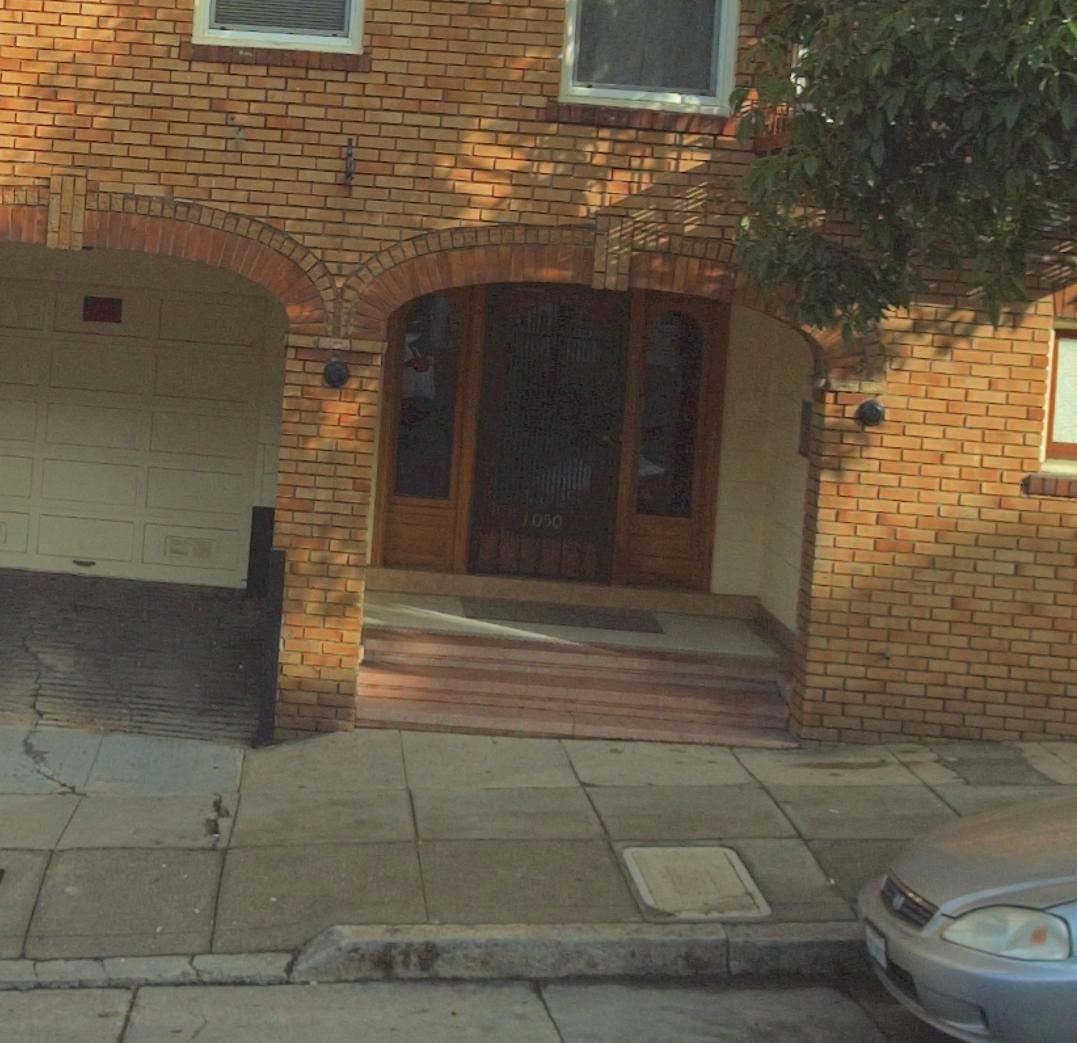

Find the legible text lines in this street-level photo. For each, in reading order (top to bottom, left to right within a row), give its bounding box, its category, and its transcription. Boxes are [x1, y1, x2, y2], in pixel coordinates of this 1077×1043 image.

[519, 508, 565, 532] StreetNumber: 1050